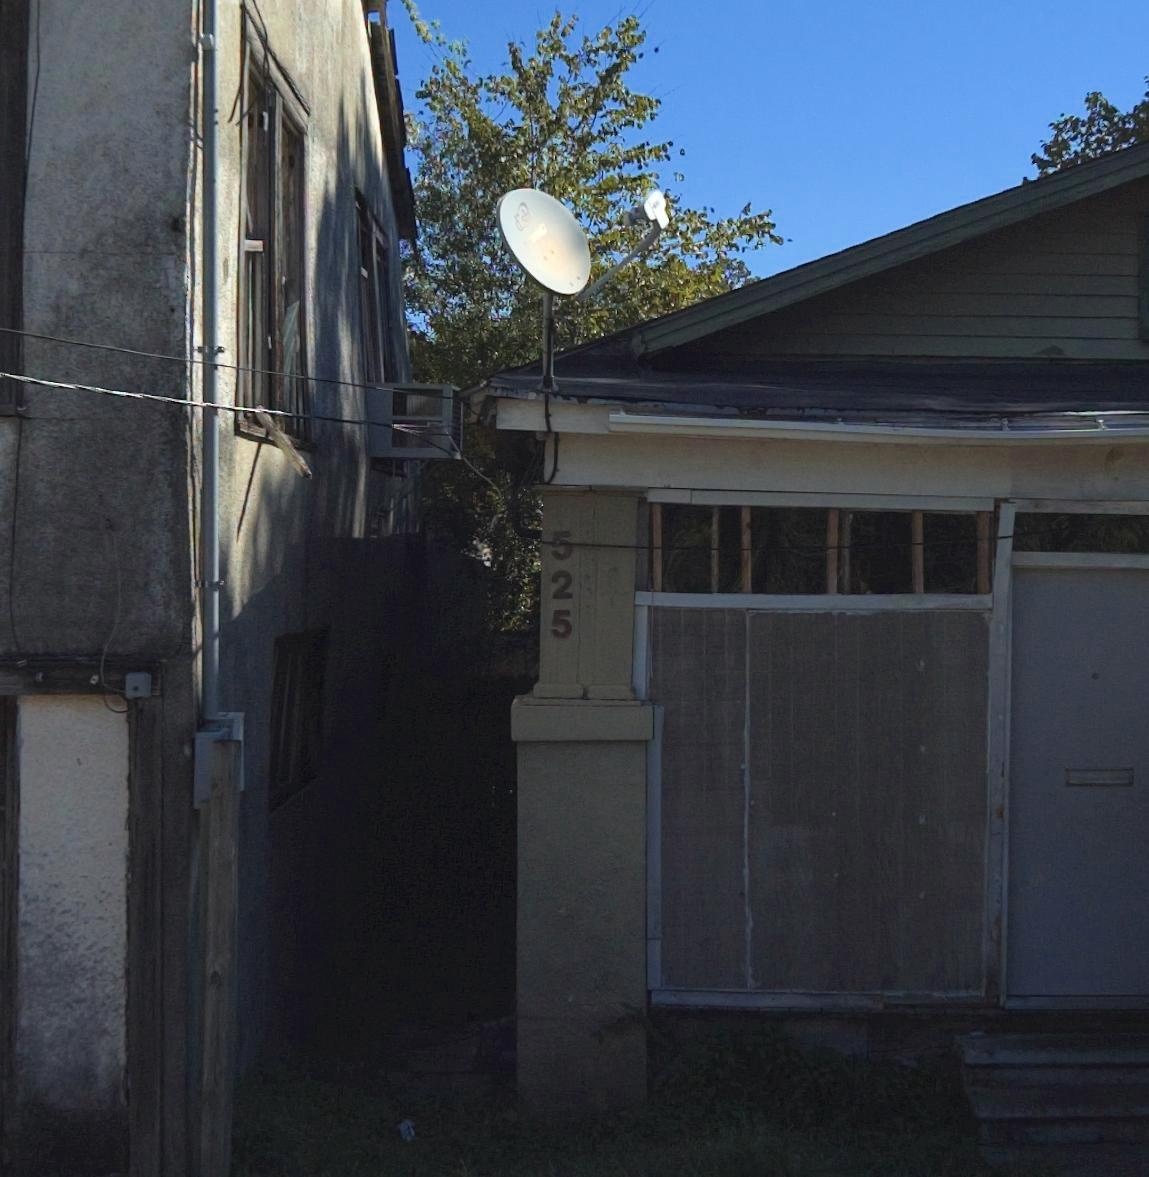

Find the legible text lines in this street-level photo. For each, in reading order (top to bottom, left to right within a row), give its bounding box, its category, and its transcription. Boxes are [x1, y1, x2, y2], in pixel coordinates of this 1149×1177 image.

[548, 527, 574, 642] StreetNumber: *25